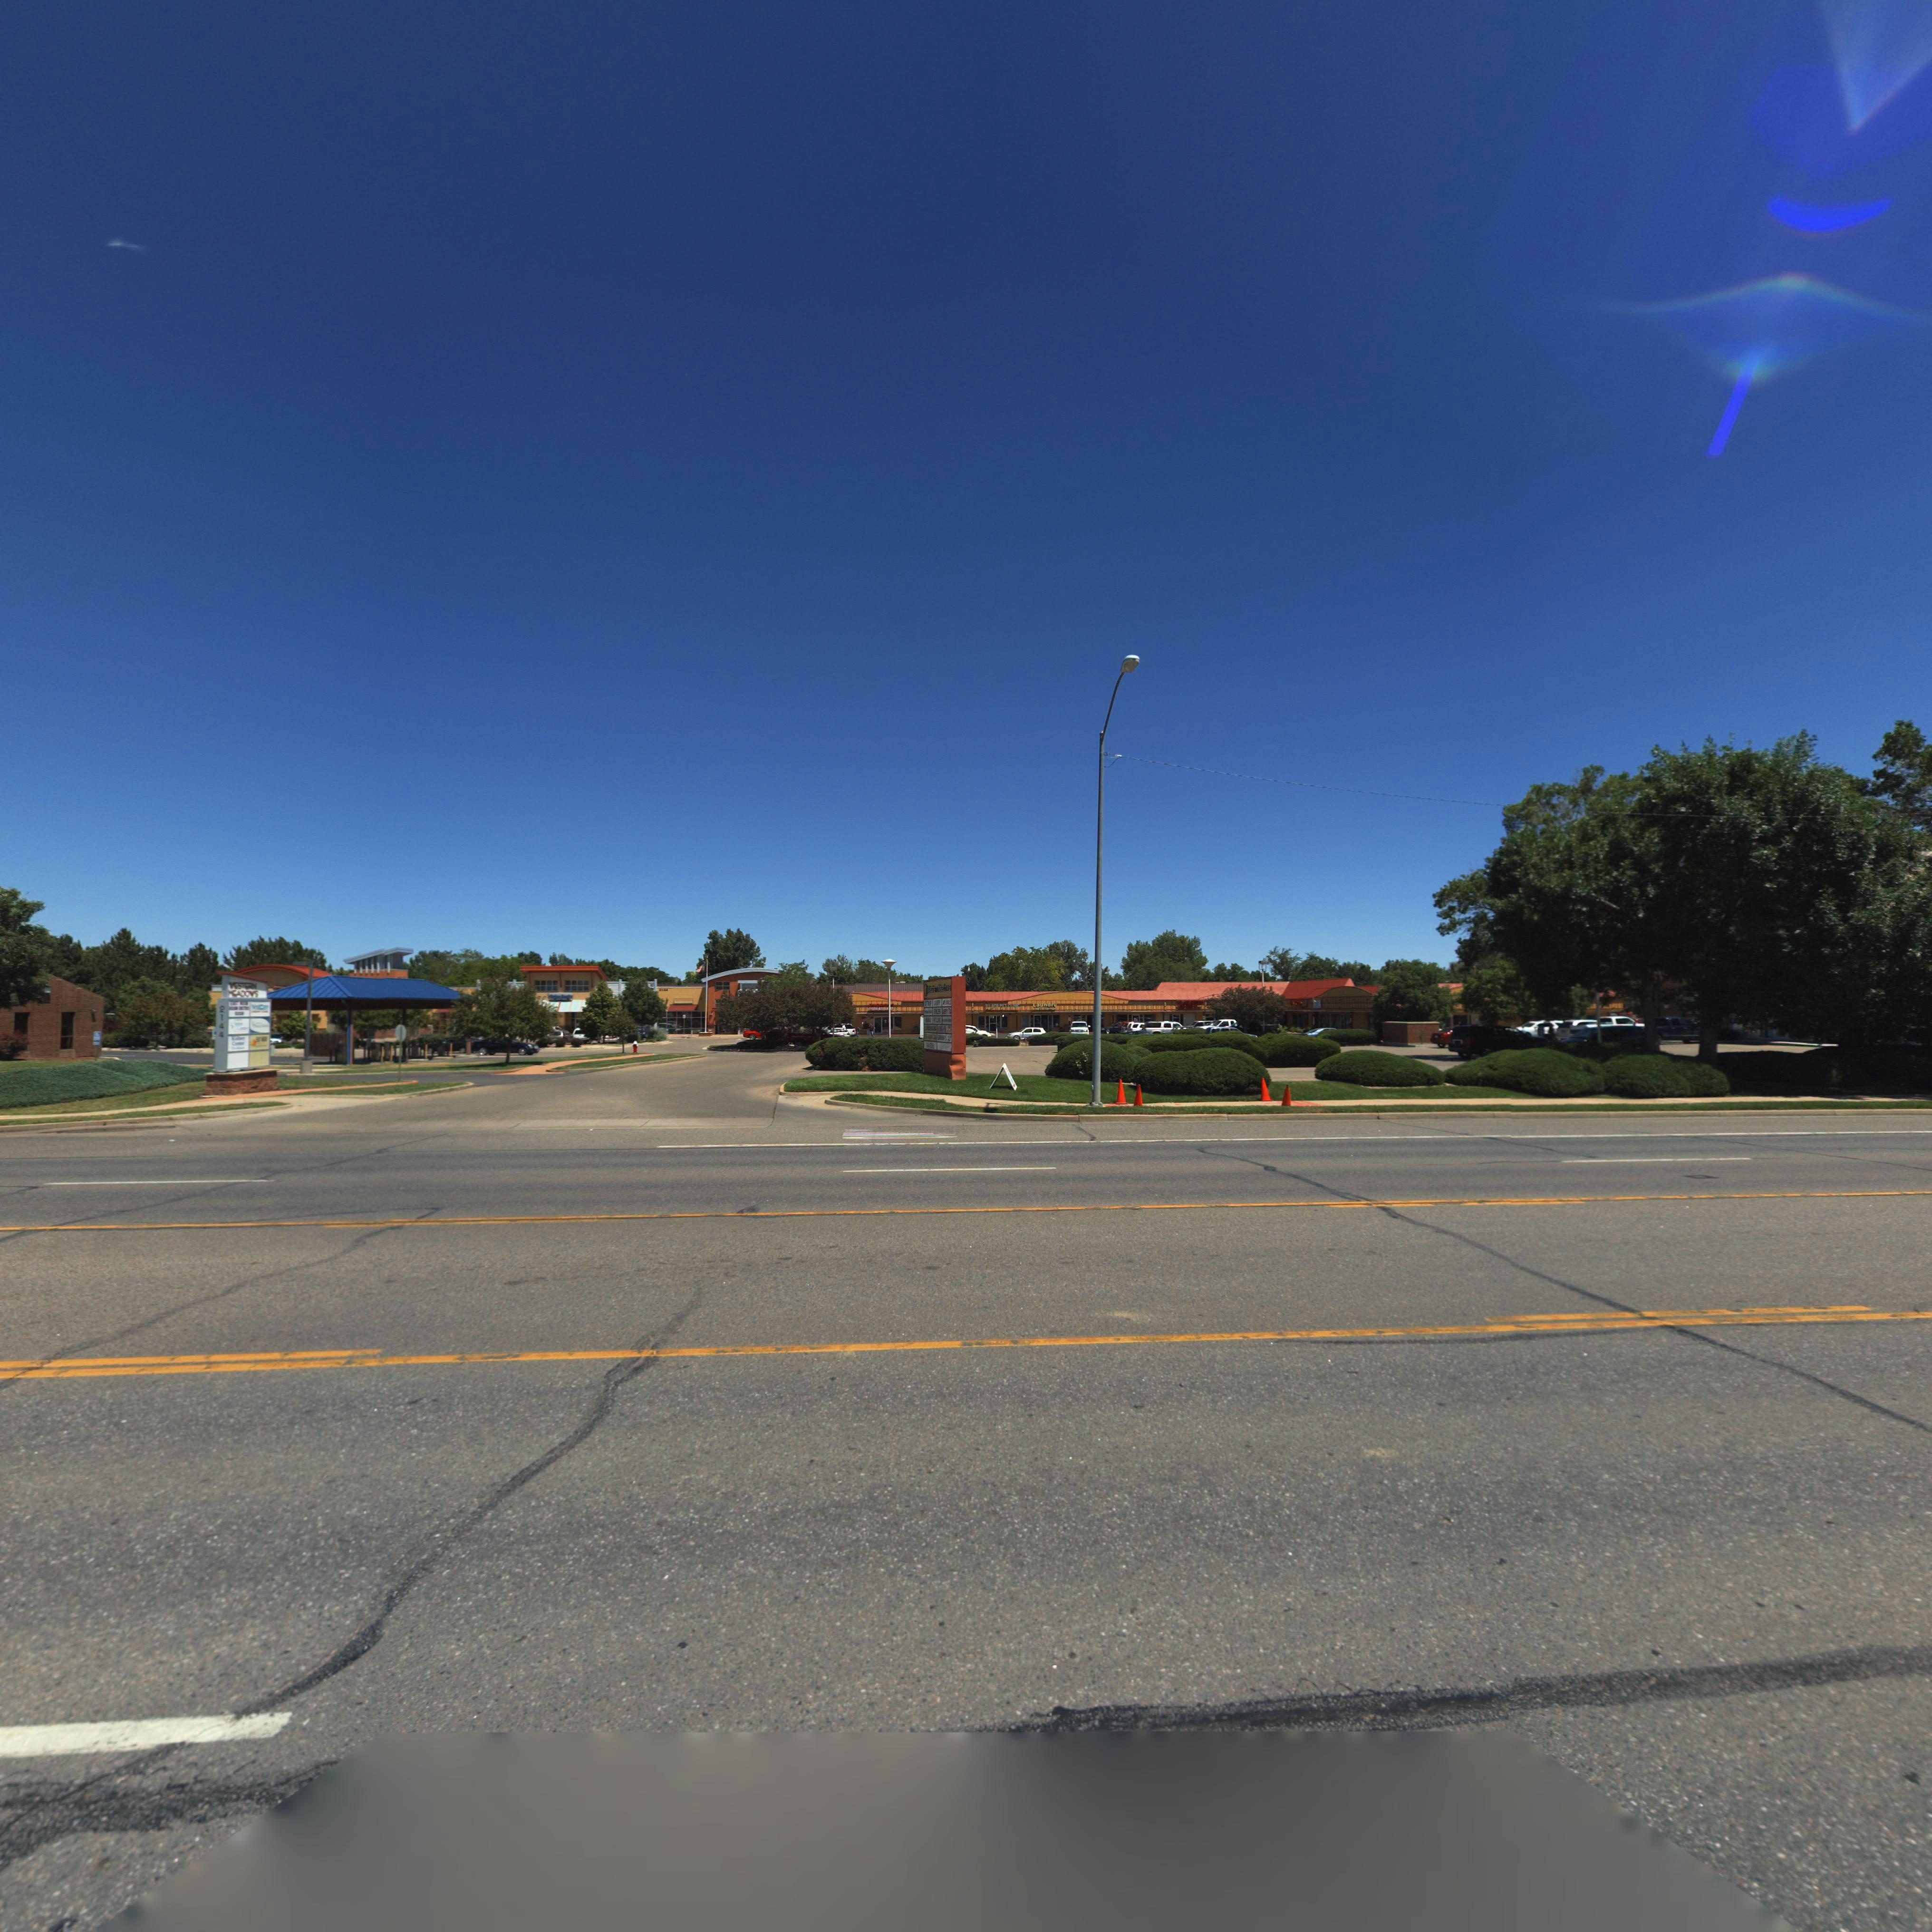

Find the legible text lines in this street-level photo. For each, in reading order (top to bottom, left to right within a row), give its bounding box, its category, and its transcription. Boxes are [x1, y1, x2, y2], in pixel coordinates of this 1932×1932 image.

[658, 988, 667, 991] StreetNumber: 2144
[945, 999, 952, 1005] BusinessName: ***LS
[985, 1004, 1020, 1008] BusinessName: ***LAG* PET C****C
[942, 1008, 952, 1014] BusinessName: L****** T**
[218, 1005, 225, 1038] StreetNumber: 2144
[924, 1025, 937, 1031] BusinessName: L* ***********
[937, 1034, 947, 1041] BusinessName: G******S
[231, 1041, 244, 1046] BusinessName: C******